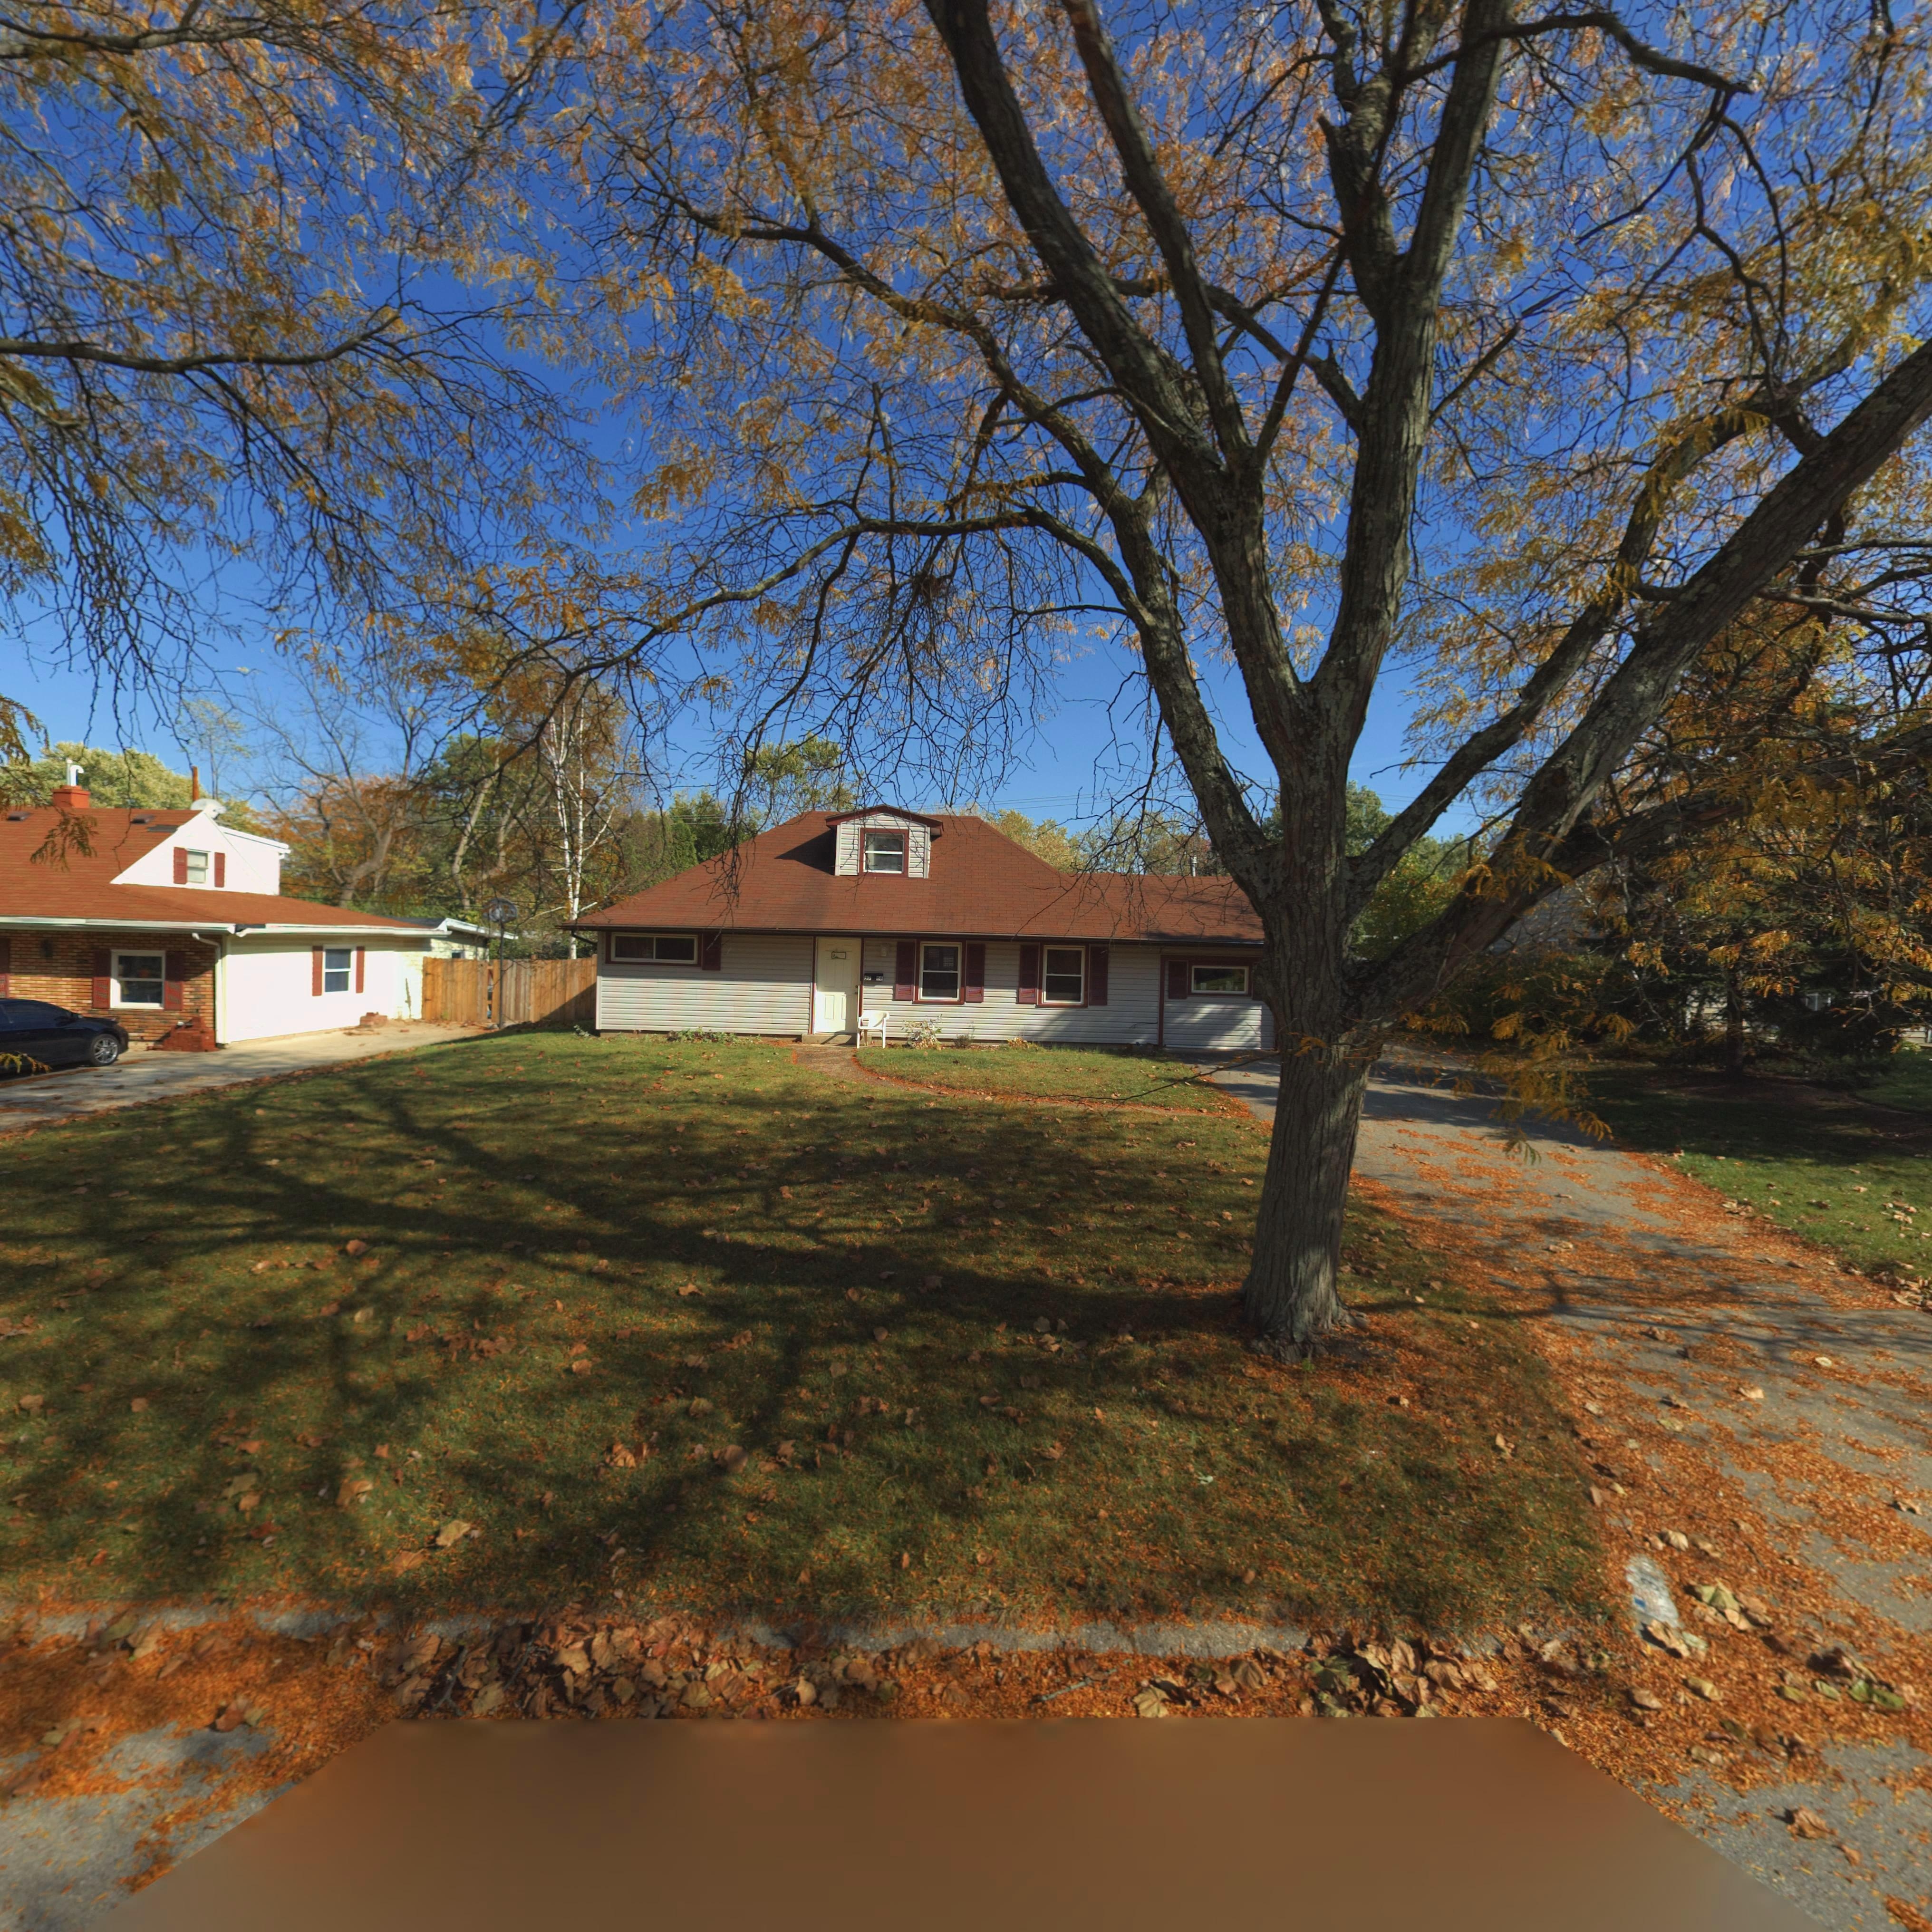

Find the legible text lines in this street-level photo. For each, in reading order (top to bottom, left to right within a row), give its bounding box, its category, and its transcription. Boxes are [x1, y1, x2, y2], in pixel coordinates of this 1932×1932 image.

[864, 976, 883, 981] StreetNumber: ** 66